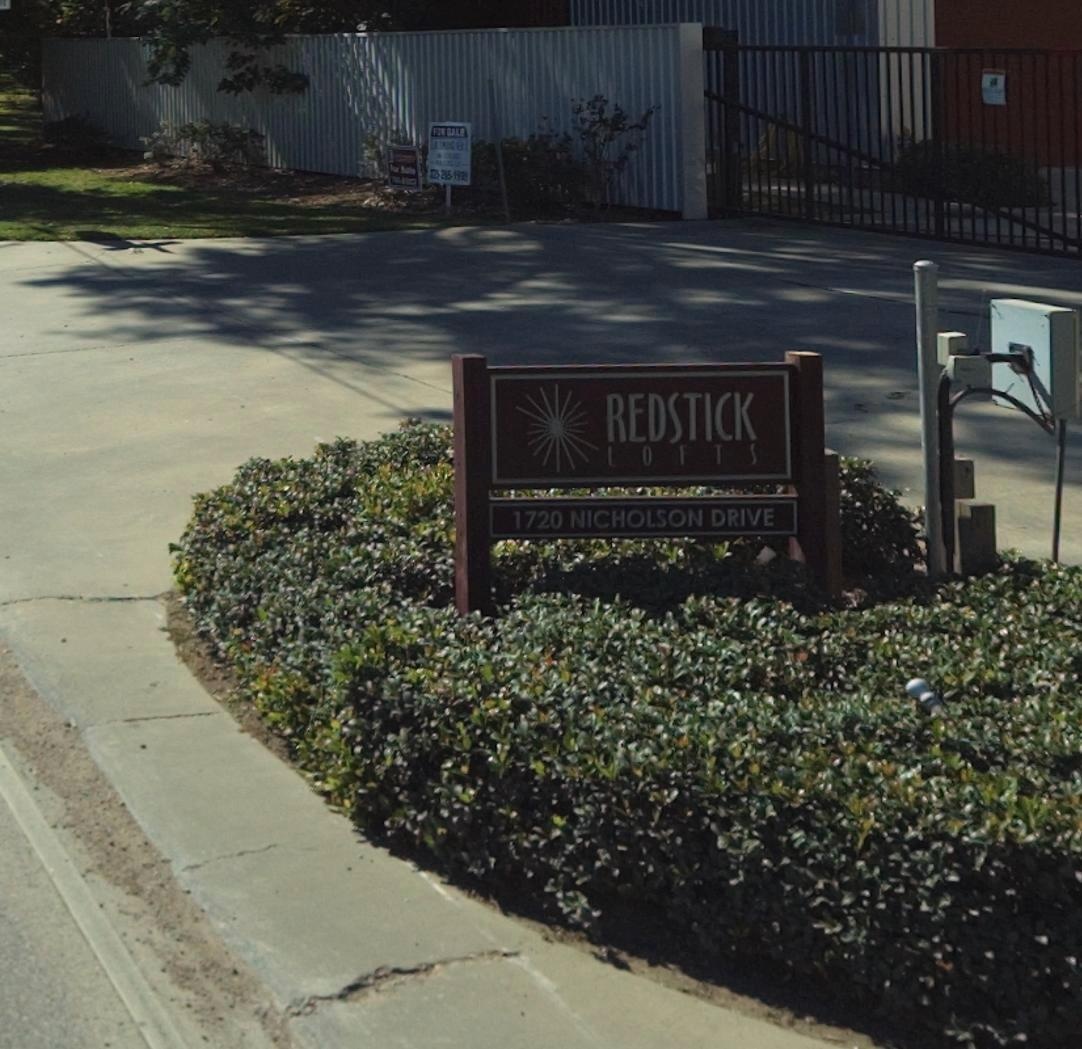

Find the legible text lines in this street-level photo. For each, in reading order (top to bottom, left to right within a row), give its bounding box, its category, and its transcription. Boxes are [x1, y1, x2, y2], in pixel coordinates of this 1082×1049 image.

[429, 168, 469, 183] None: *25-2*5-999*
[606, 391, 759, 443] None: REDSTICK
[605, 442, 758, 468] None: LOFTS
[512, 510, 563, 530] StreetNumber: 1720
[569, 507, 775, 530] StreetName: NICHOLSON DRIVE